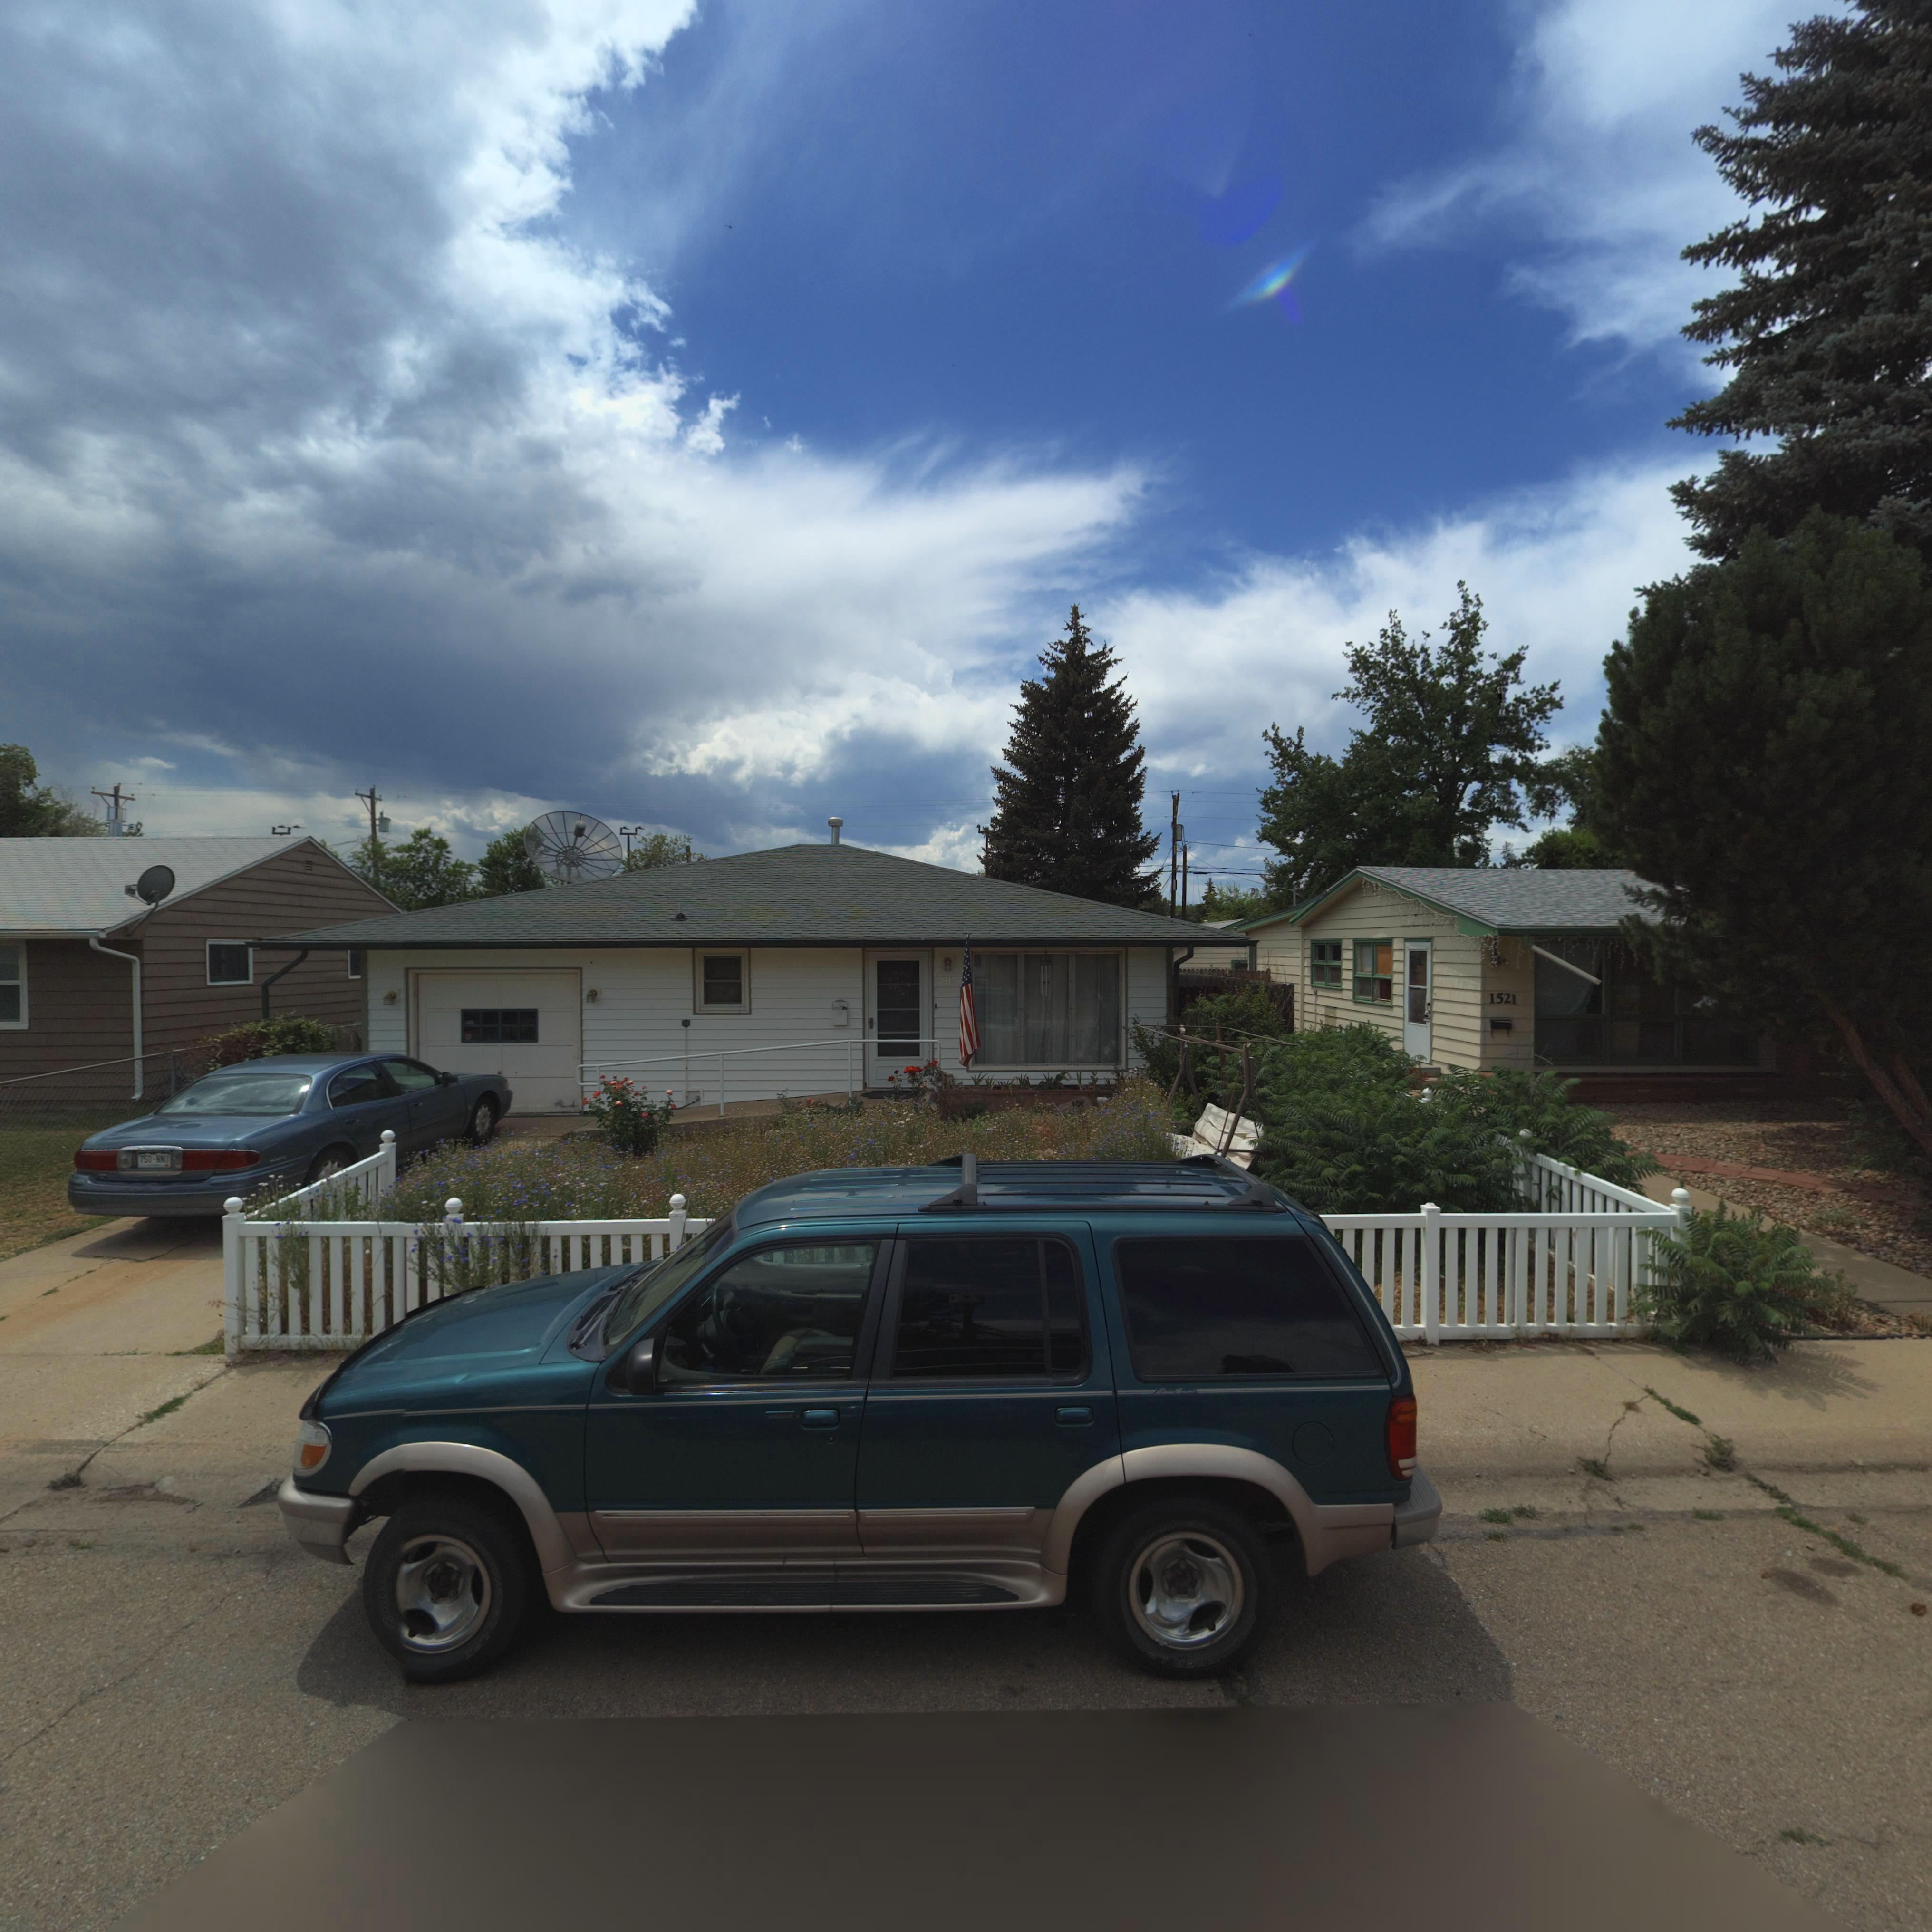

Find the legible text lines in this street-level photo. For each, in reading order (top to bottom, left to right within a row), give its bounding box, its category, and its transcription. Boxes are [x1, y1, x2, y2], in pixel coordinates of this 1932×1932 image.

[940, 976, 957, 985] StreetNumber: 1517
[1488, 992, 1517, 1005] StreetNumber: 1521